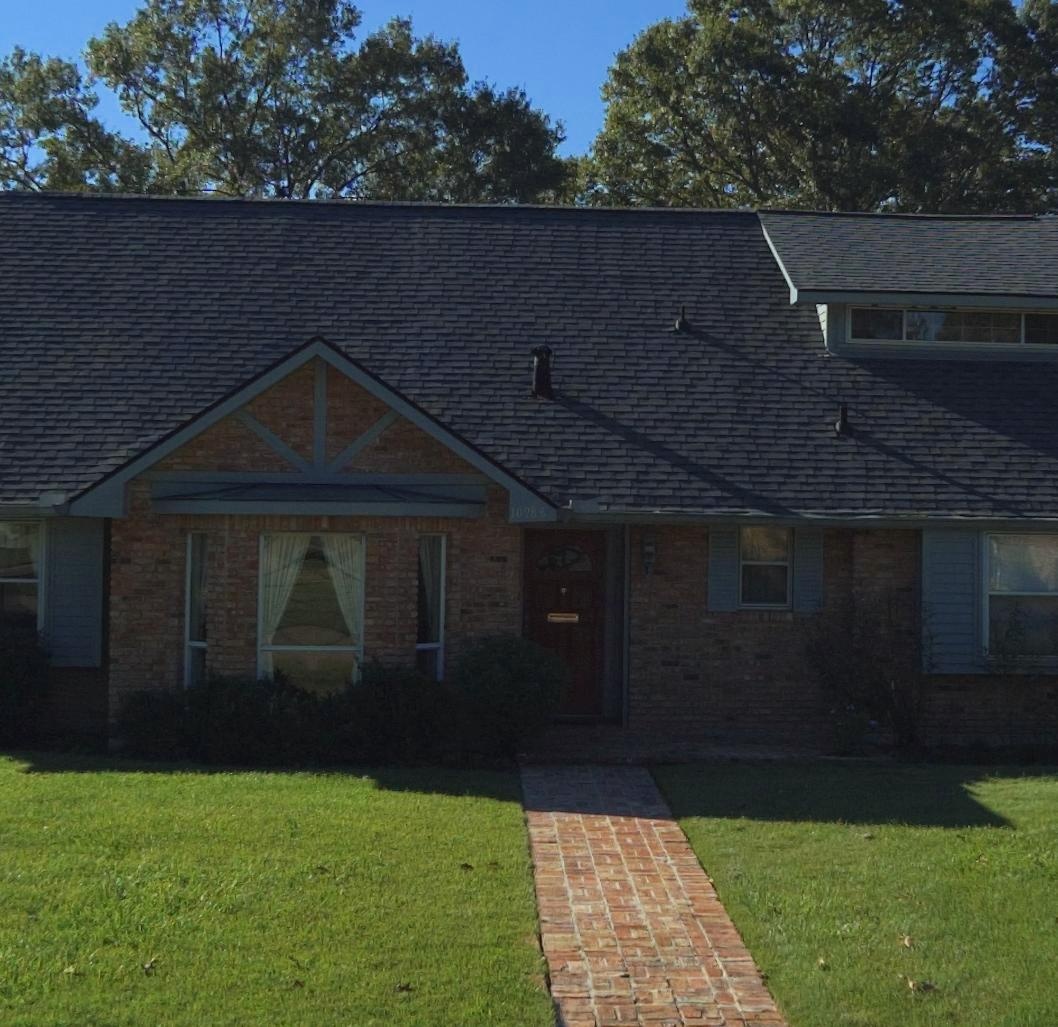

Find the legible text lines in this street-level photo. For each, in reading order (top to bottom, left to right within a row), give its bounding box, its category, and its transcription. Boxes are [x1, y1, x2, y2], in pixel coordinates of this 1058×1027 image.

[509, 504, 549, 522] StreetNumber: 10988